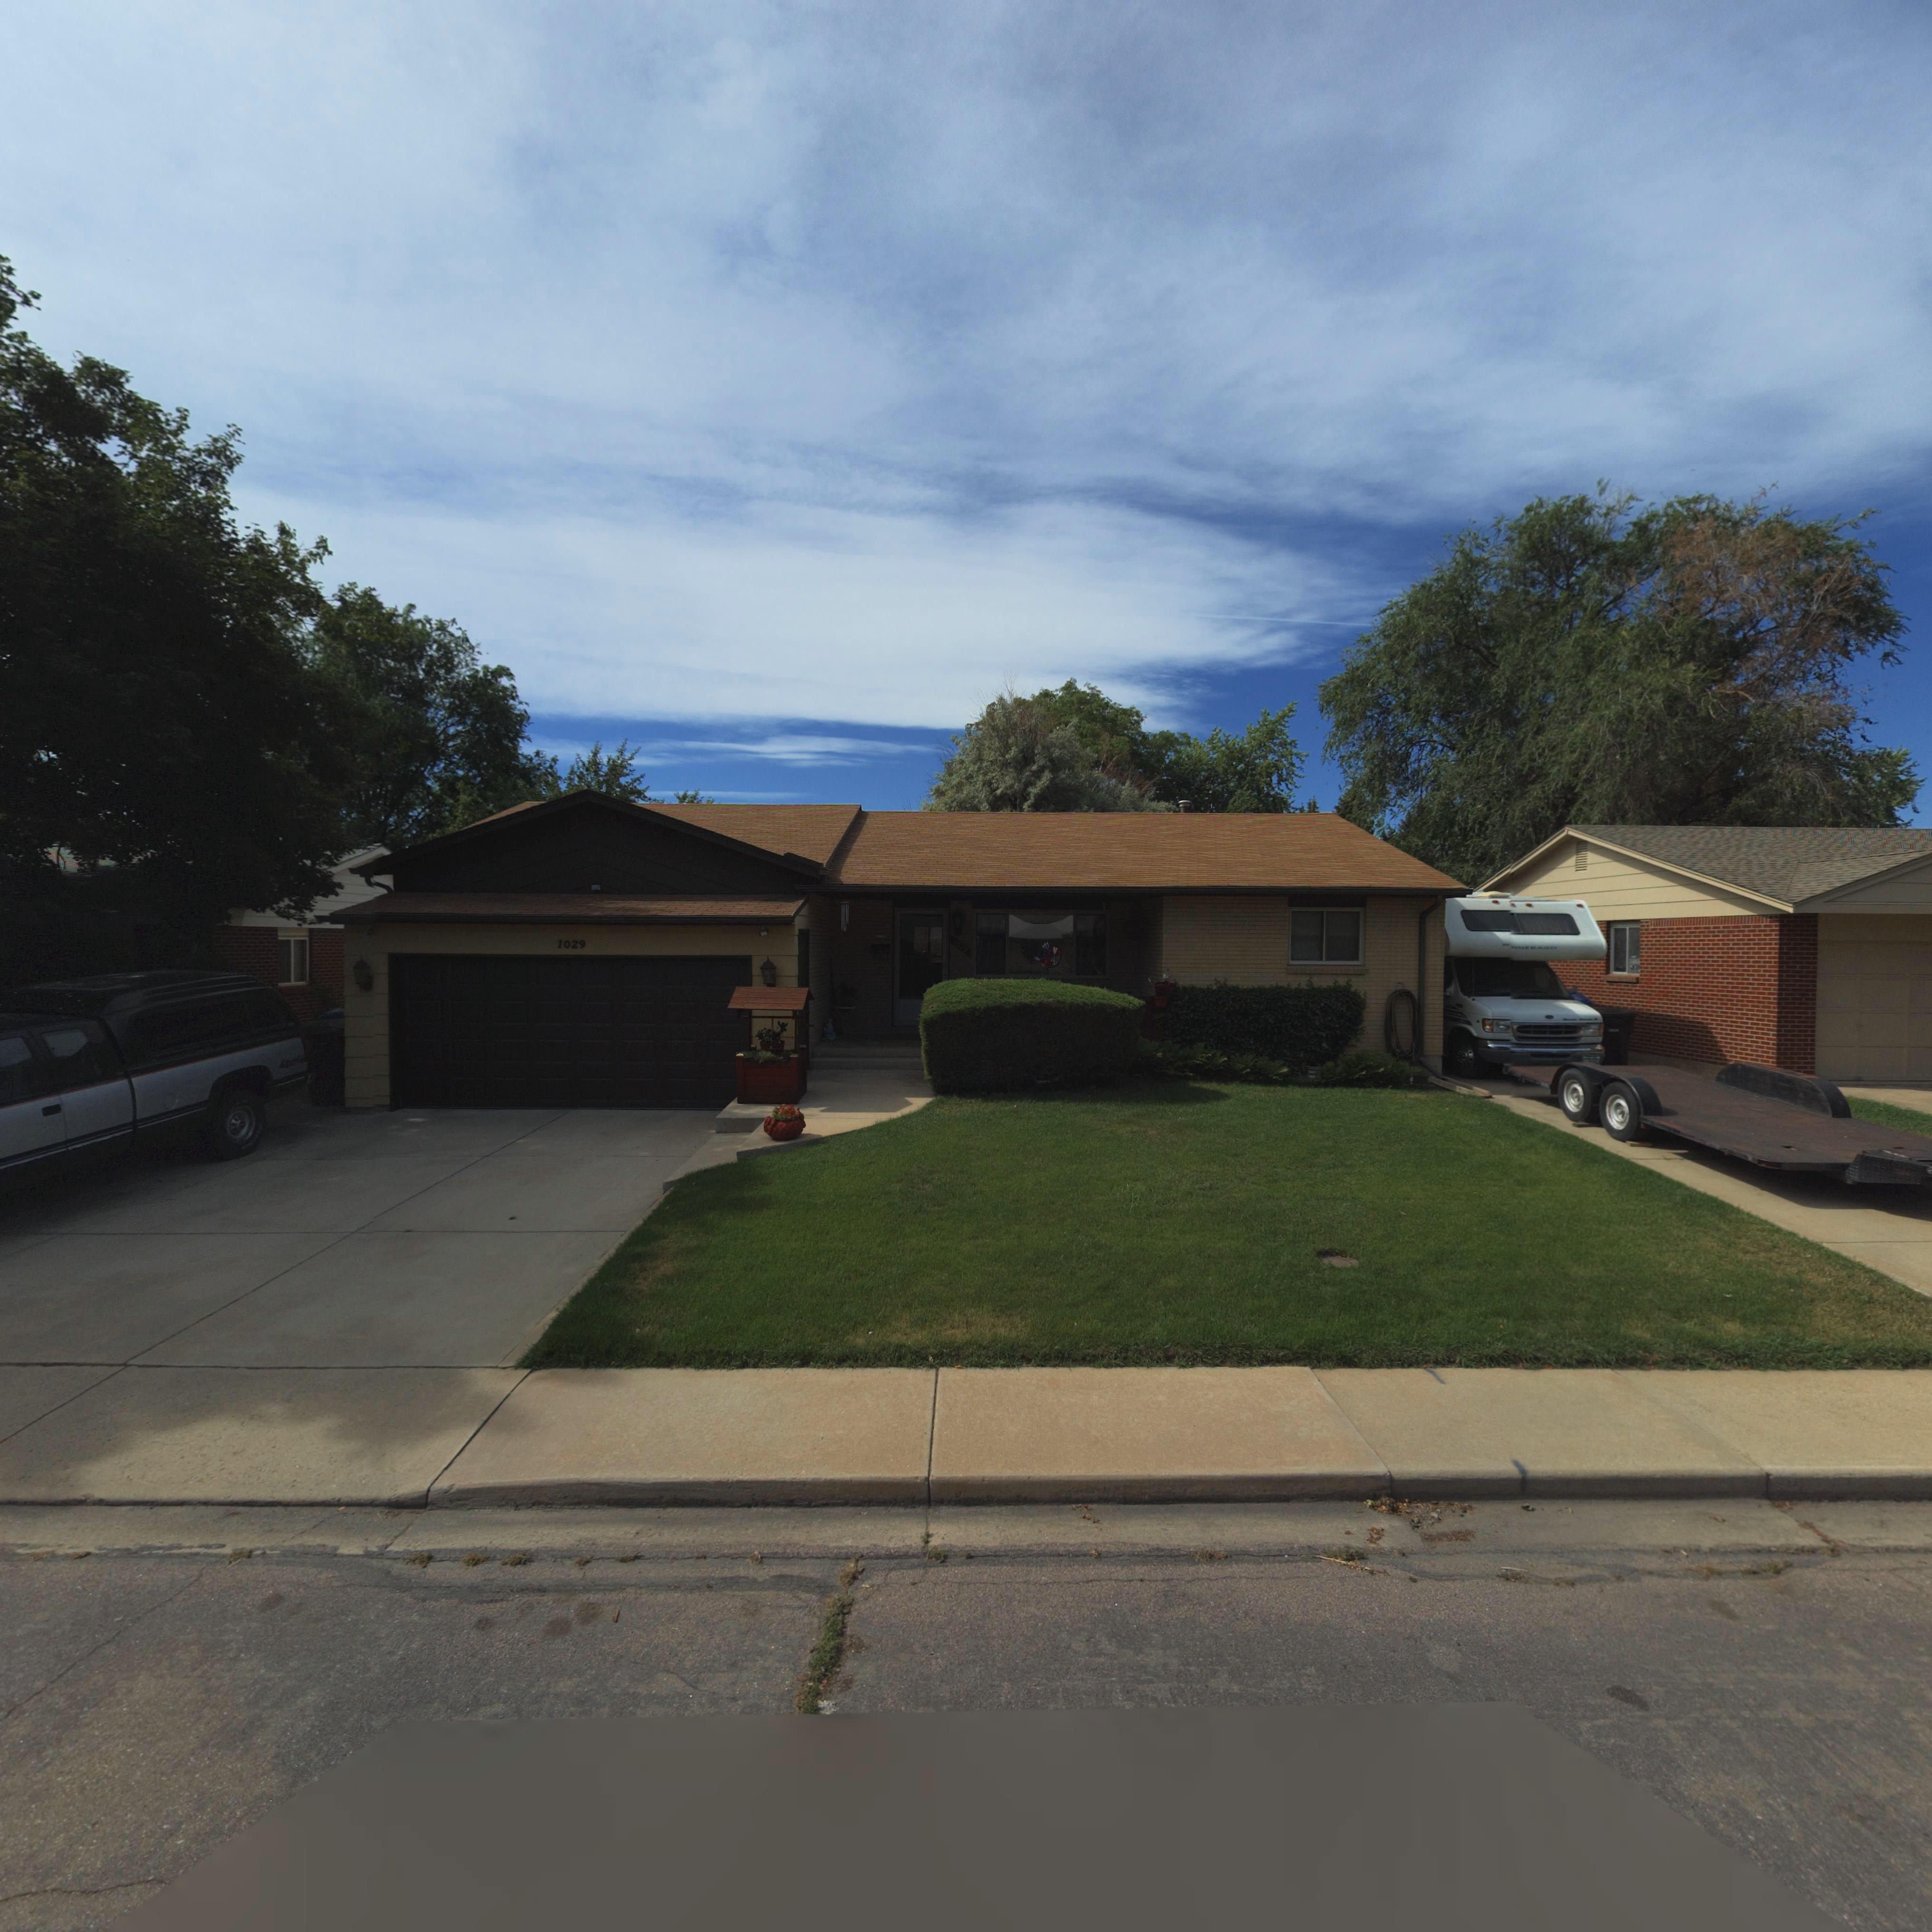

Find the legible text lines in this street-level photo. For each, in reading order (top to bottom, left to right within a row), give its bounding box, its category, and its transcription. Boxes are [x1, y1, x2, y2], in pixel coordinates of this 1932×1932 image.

[557, 938, 586, 949] StreetNumber: 1029
[953, 938, 968, 952] StreetNumber: 1029